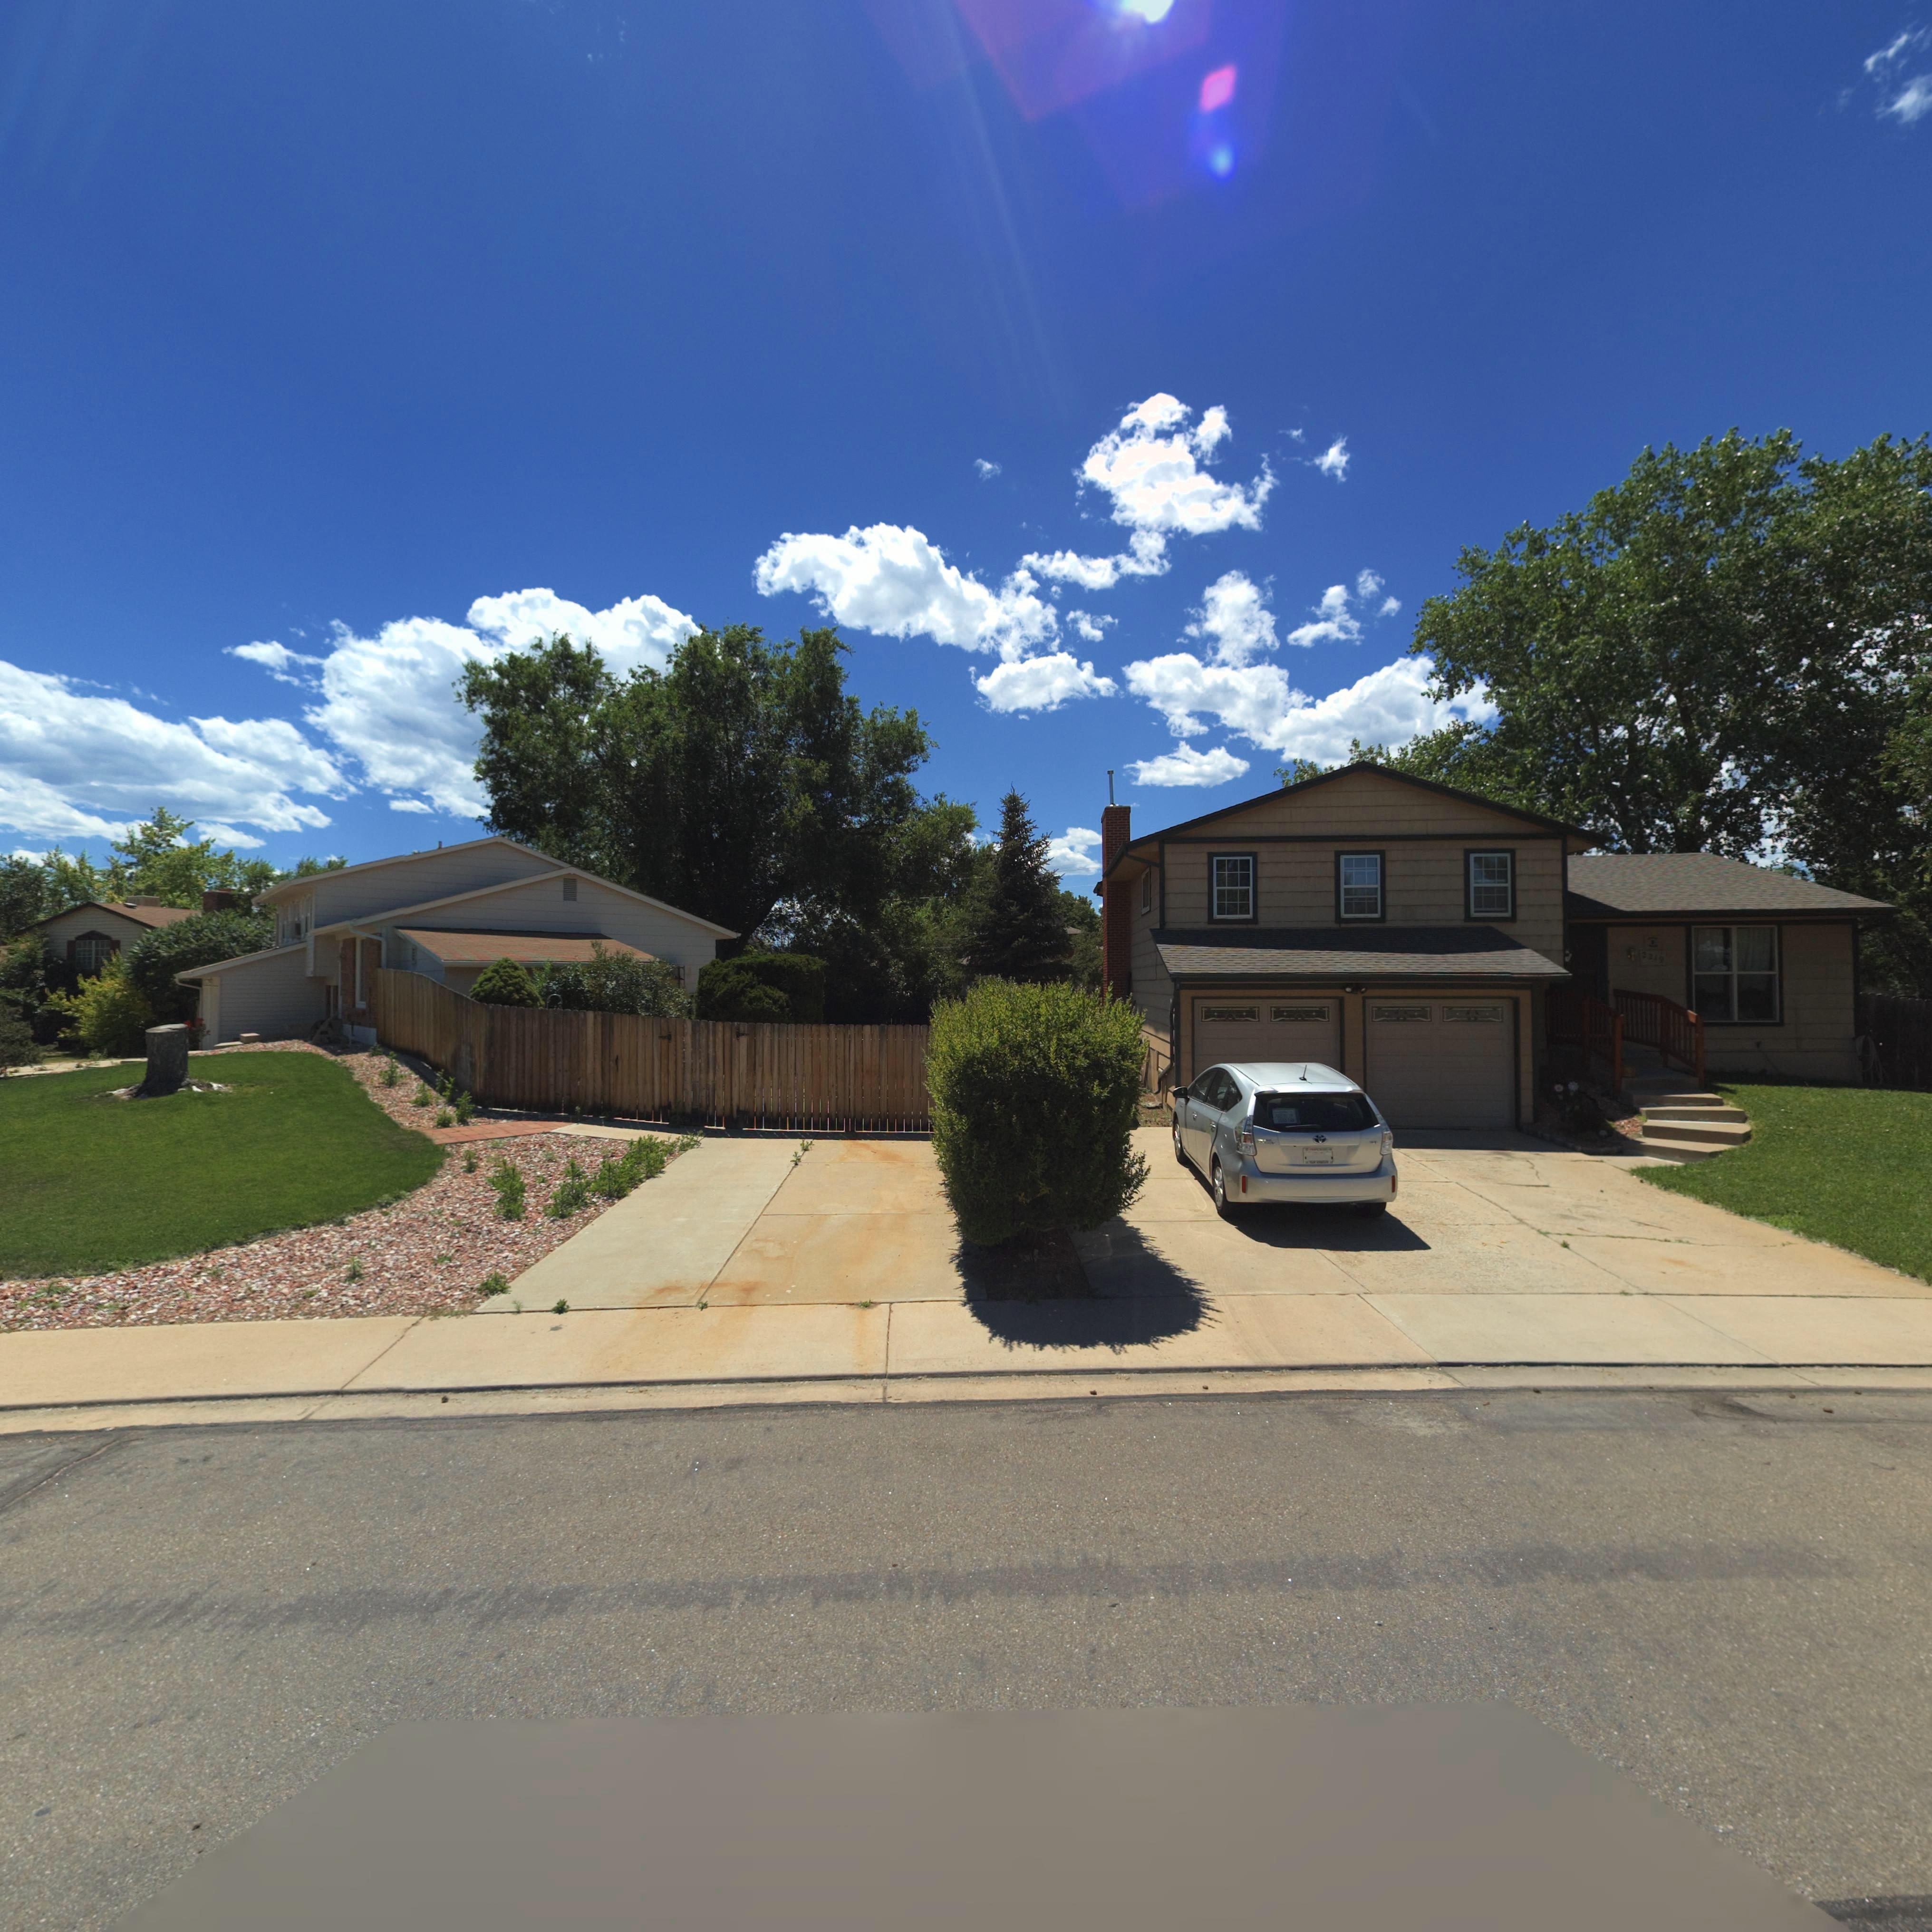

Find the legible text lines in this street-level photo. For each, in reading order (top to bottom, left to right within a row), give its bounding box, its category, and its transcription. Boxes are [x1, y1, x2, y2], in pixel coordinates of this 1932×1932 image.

[1640, 950, 1665, 964] StreetNumber: 2319